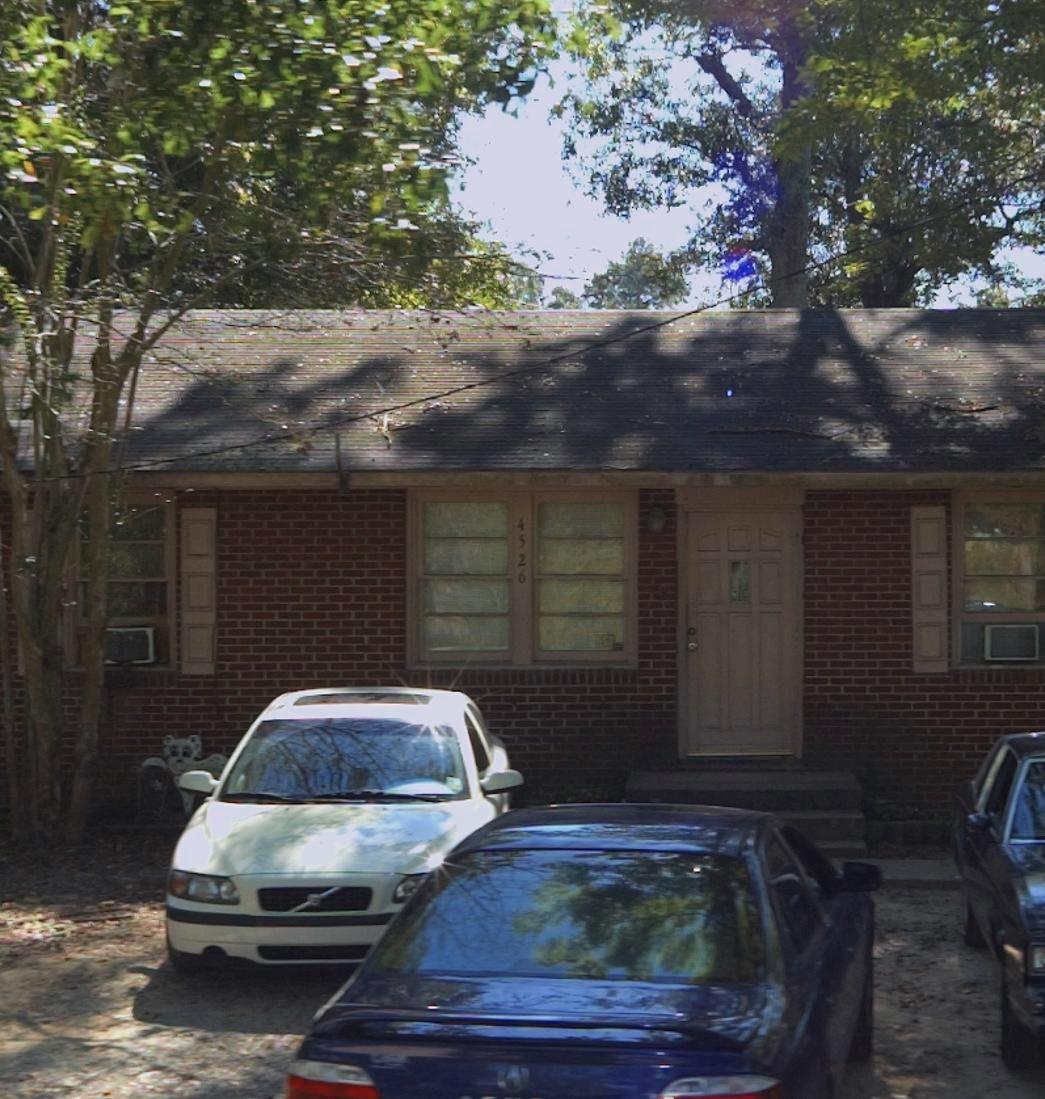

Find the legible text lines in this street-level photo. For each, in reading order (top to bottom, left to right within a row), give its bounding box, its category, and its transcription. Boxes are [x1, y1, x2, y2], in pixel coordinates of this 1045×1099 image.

[516, 517, 527, 585] StreetNumber: 4526